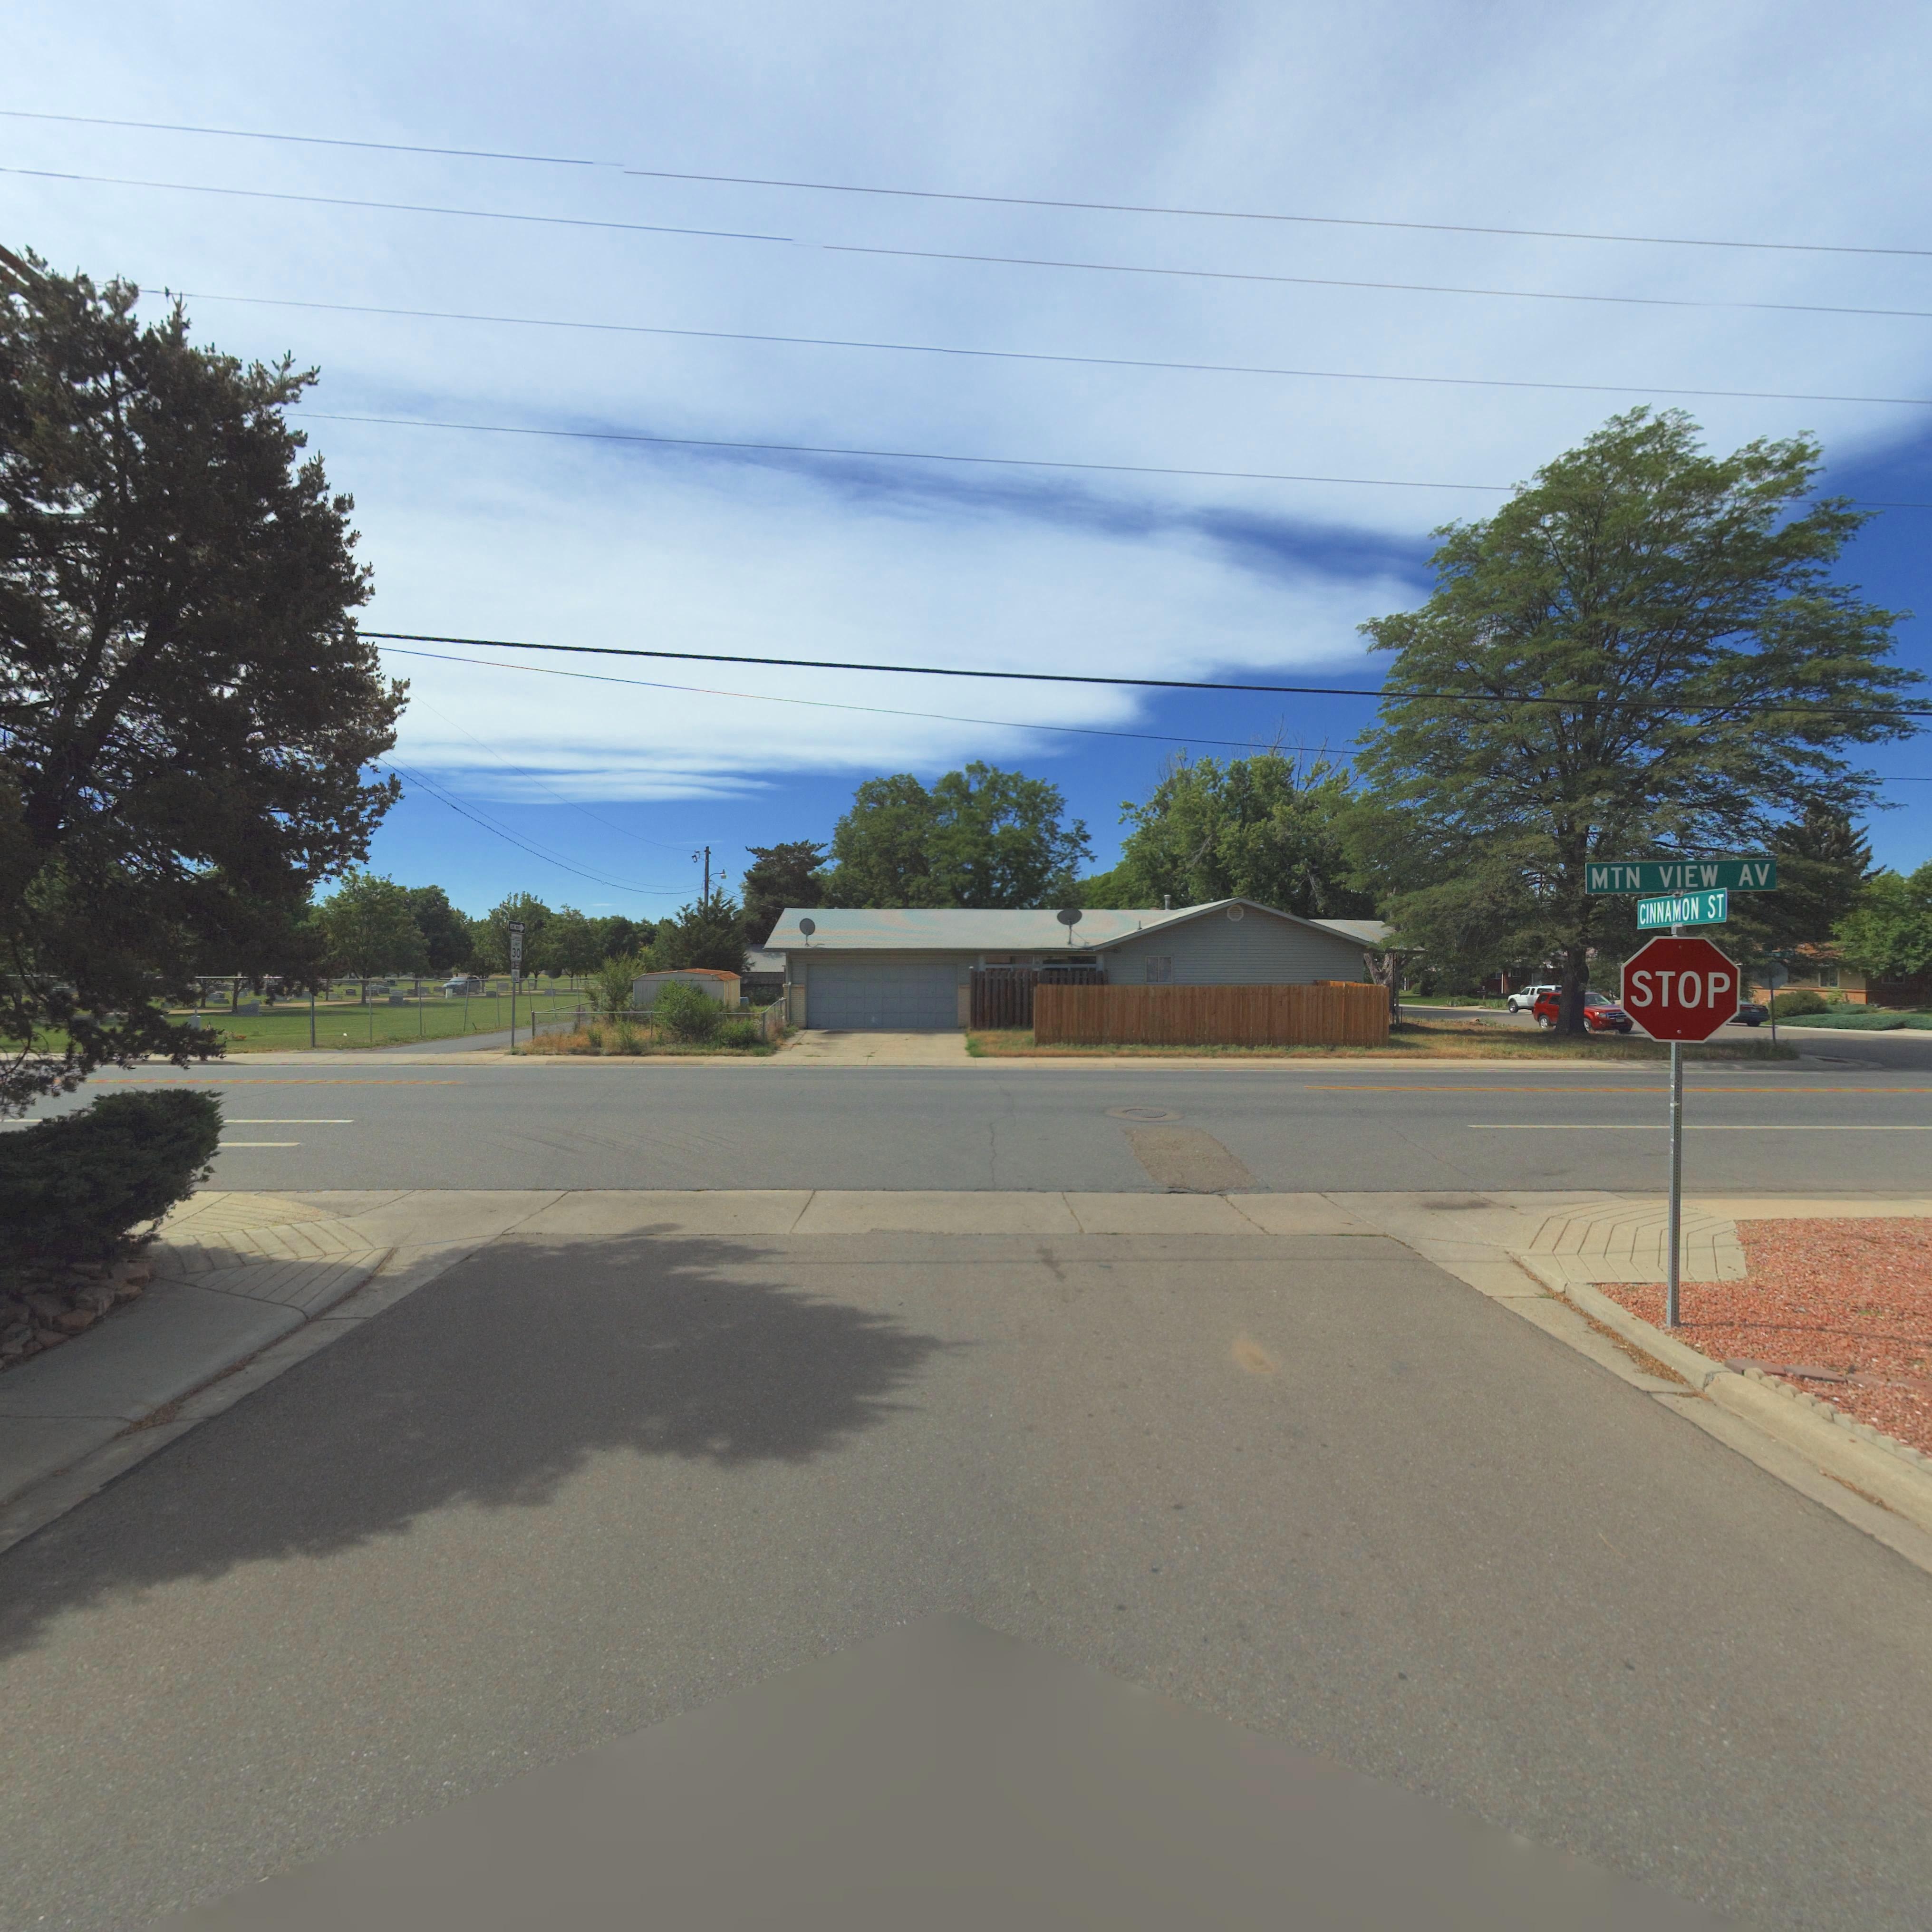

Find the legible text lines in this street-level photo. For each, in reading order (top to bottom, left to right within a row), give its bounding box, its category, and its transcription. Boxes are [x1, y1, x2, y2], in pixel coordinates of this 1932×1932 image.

[1591, 863, 1771, 890] StreetName: MTN VIEW AV
[1639, 893, 1724, 925] StreetName: CINNAMON ST